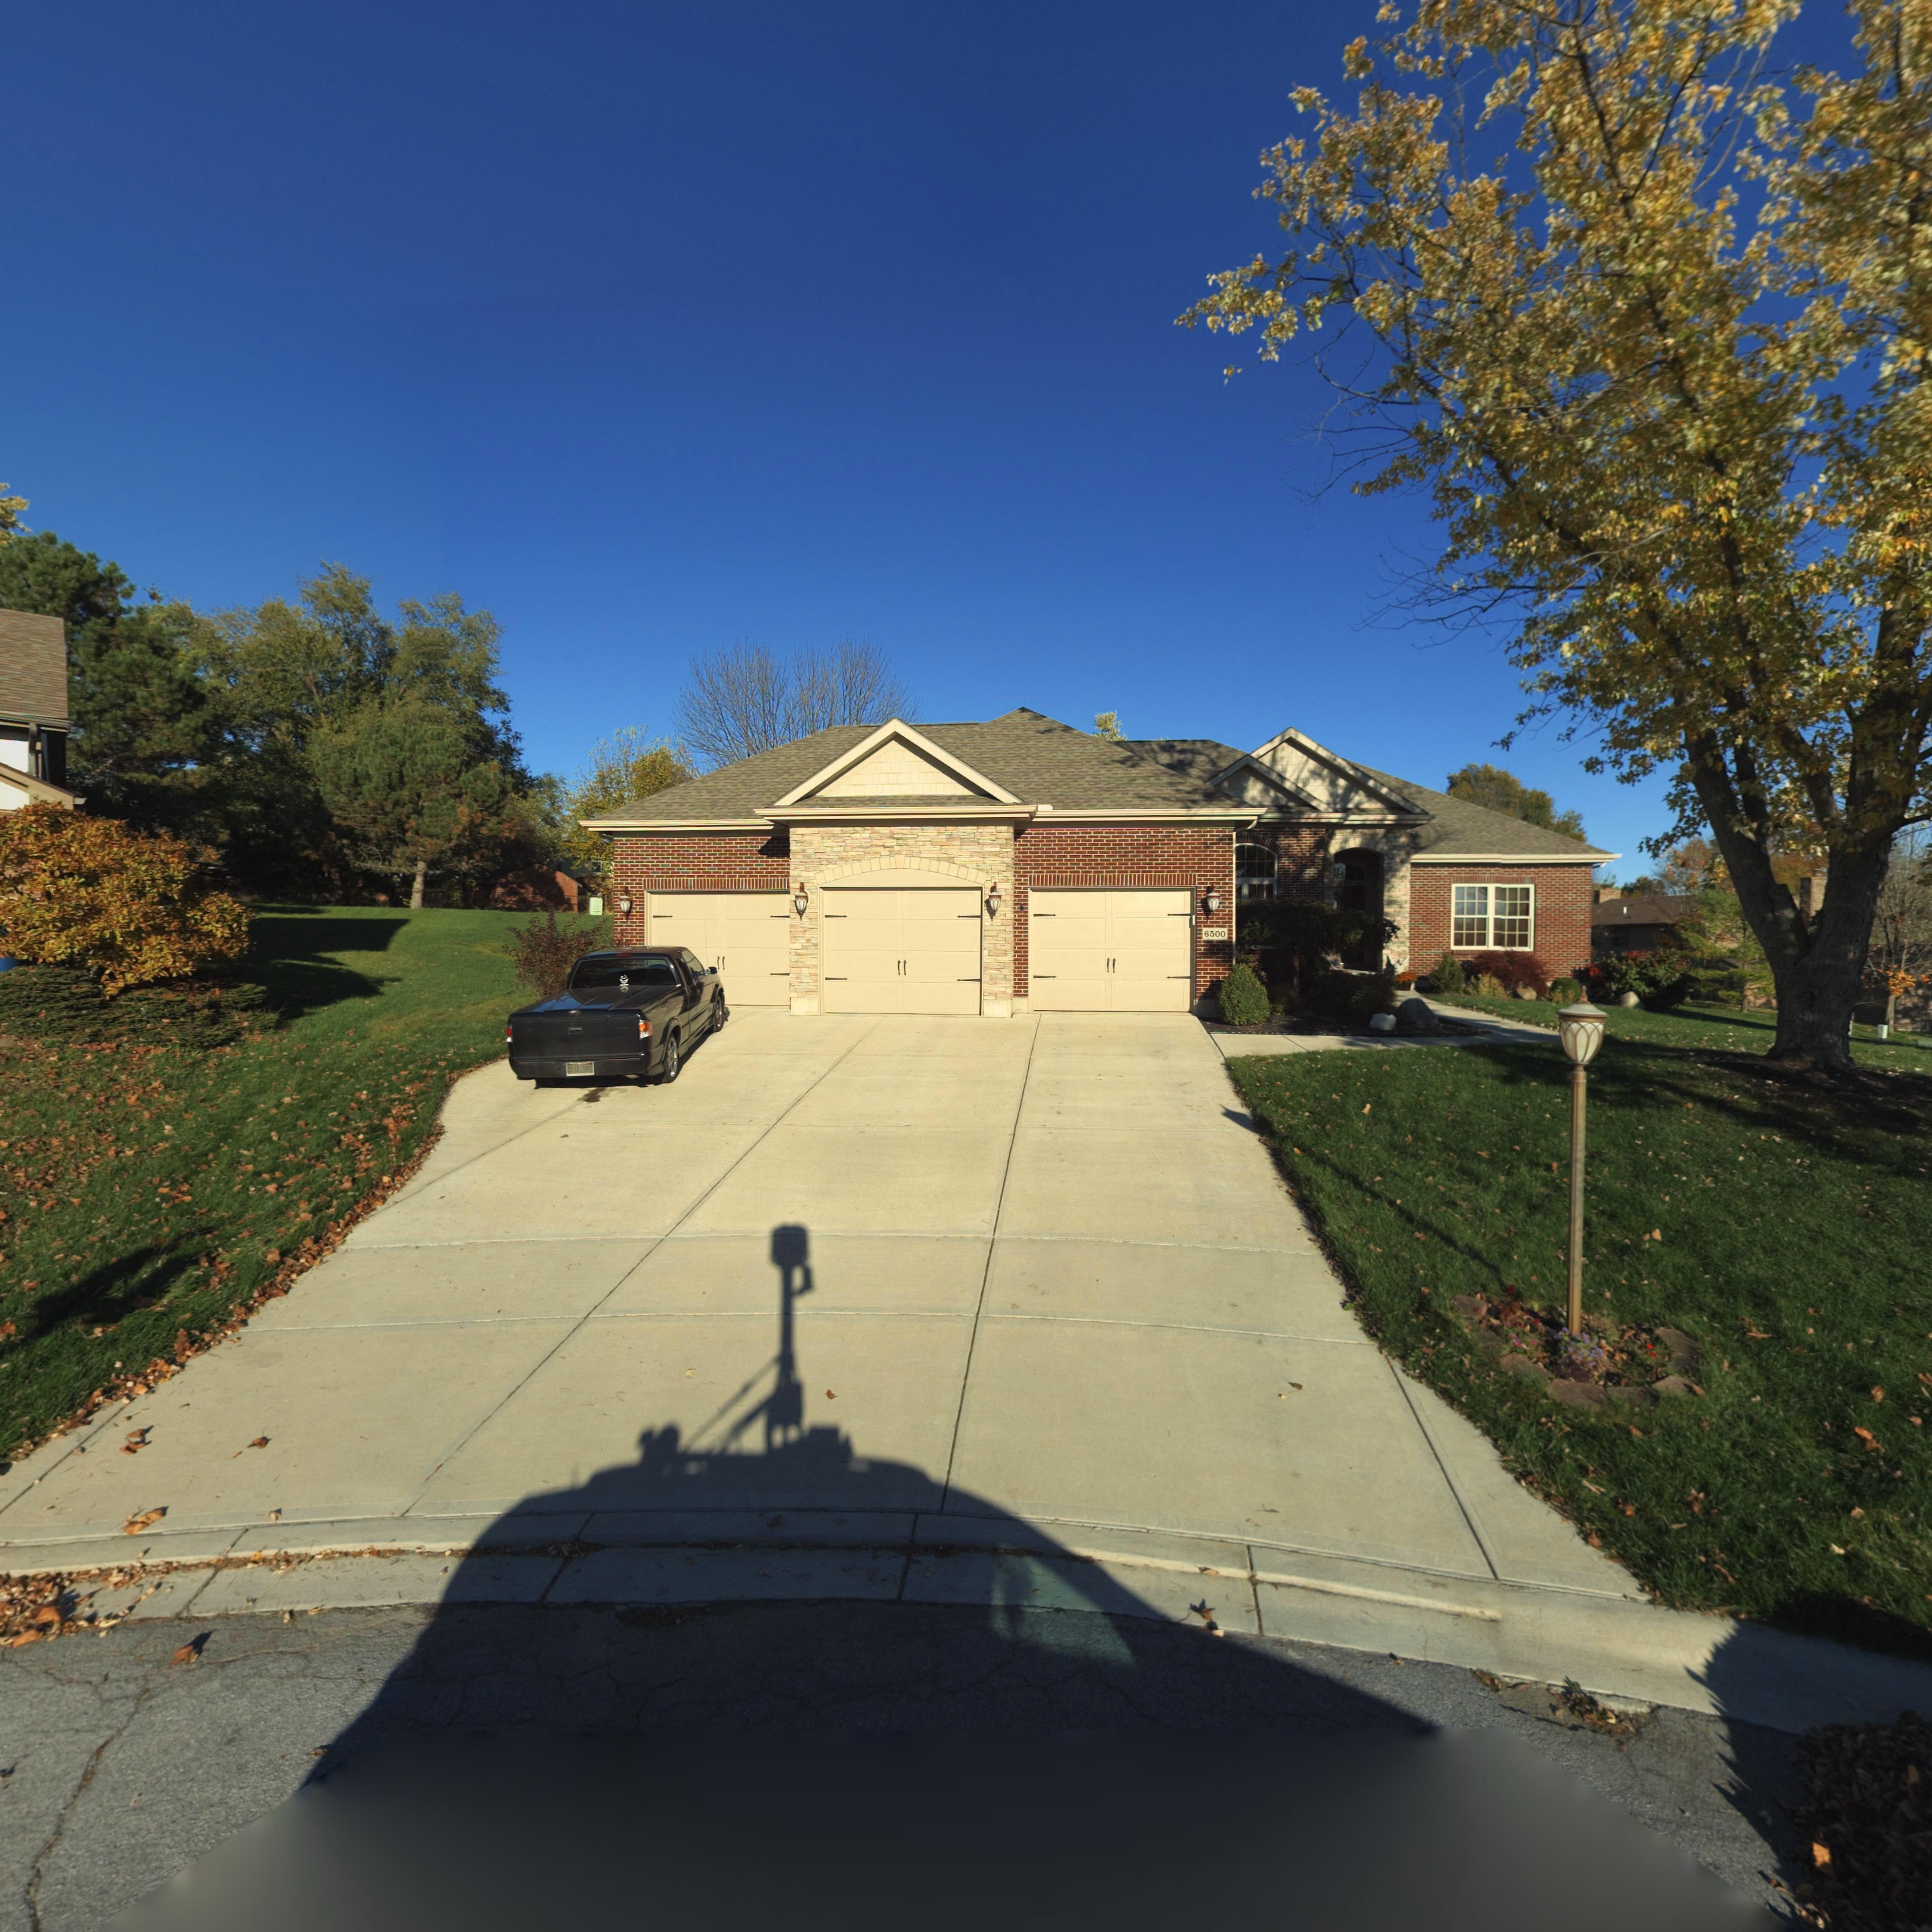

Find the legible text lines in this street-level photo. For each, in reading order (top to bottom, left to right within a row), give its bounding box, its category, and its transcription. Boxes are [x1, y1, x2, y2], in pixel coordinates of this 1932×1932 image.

[1203, 929, 1227, 938] StreetNumber: 6500